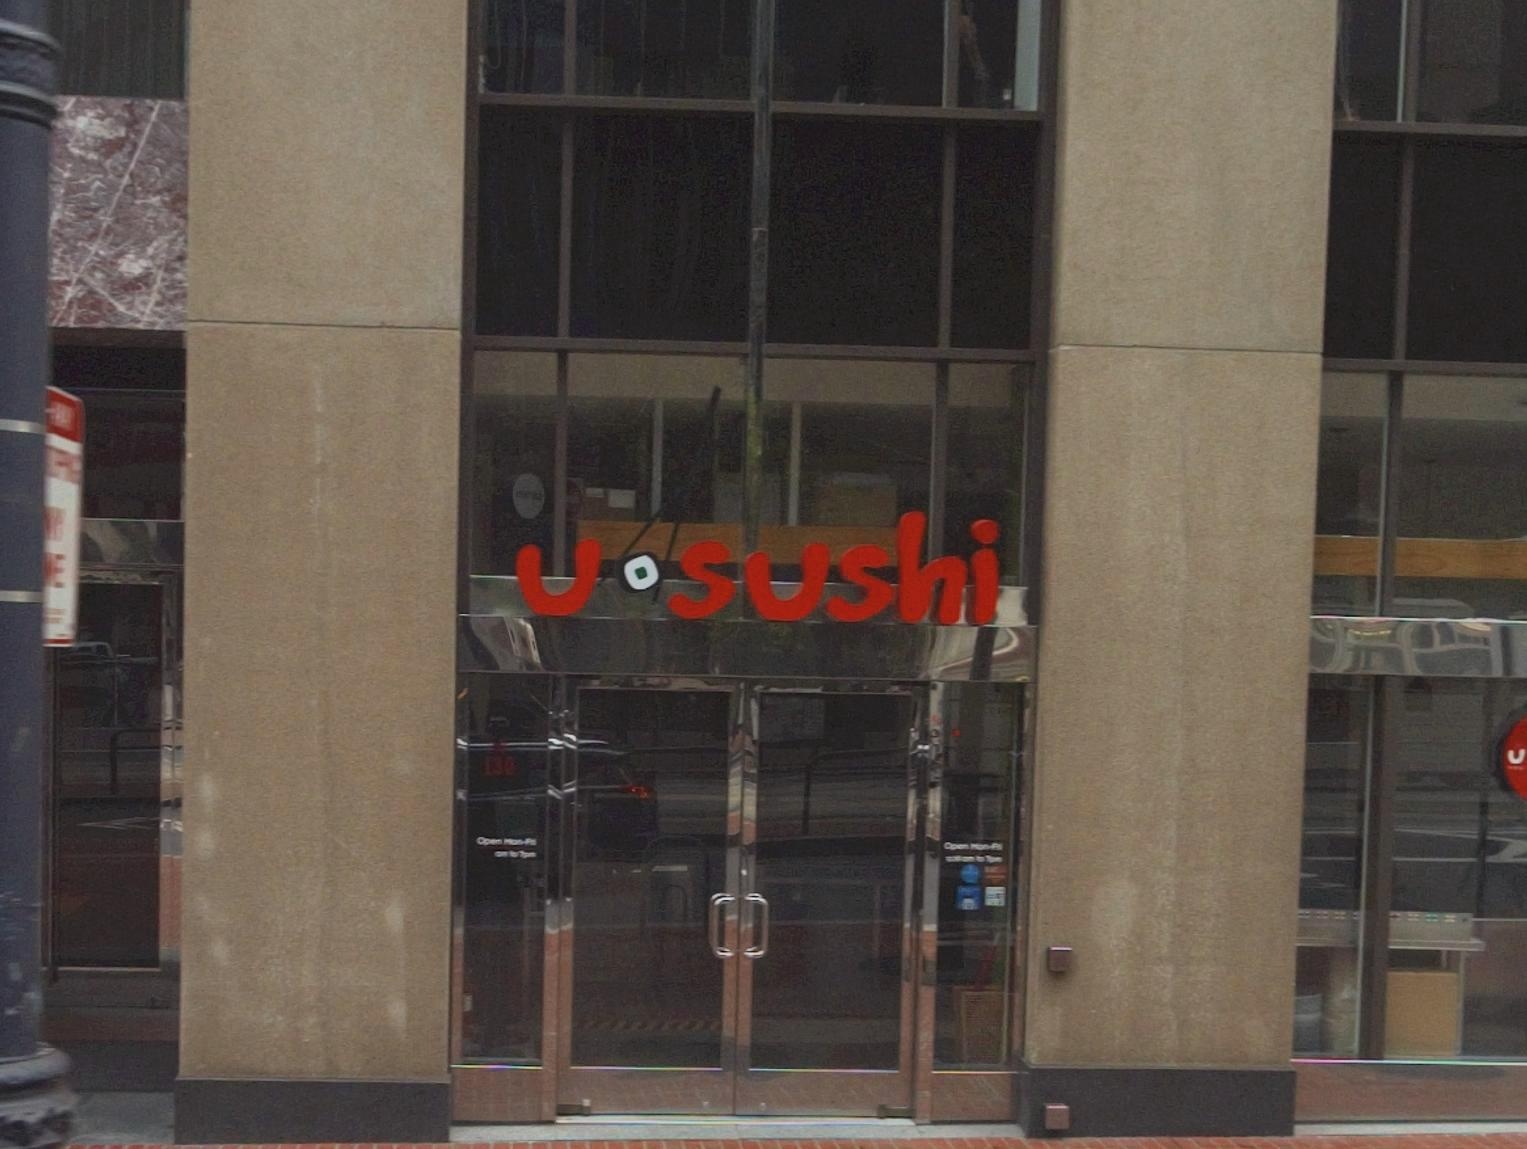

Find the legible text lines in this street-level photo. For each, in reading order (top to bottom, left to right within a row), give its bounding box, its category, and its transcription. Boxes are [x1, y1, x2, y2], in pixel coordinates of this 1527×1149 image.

[511, 502, 1004, 634] BusinessName: U * Sushi
[1503, 746, 1526, 767] BusinessName: U